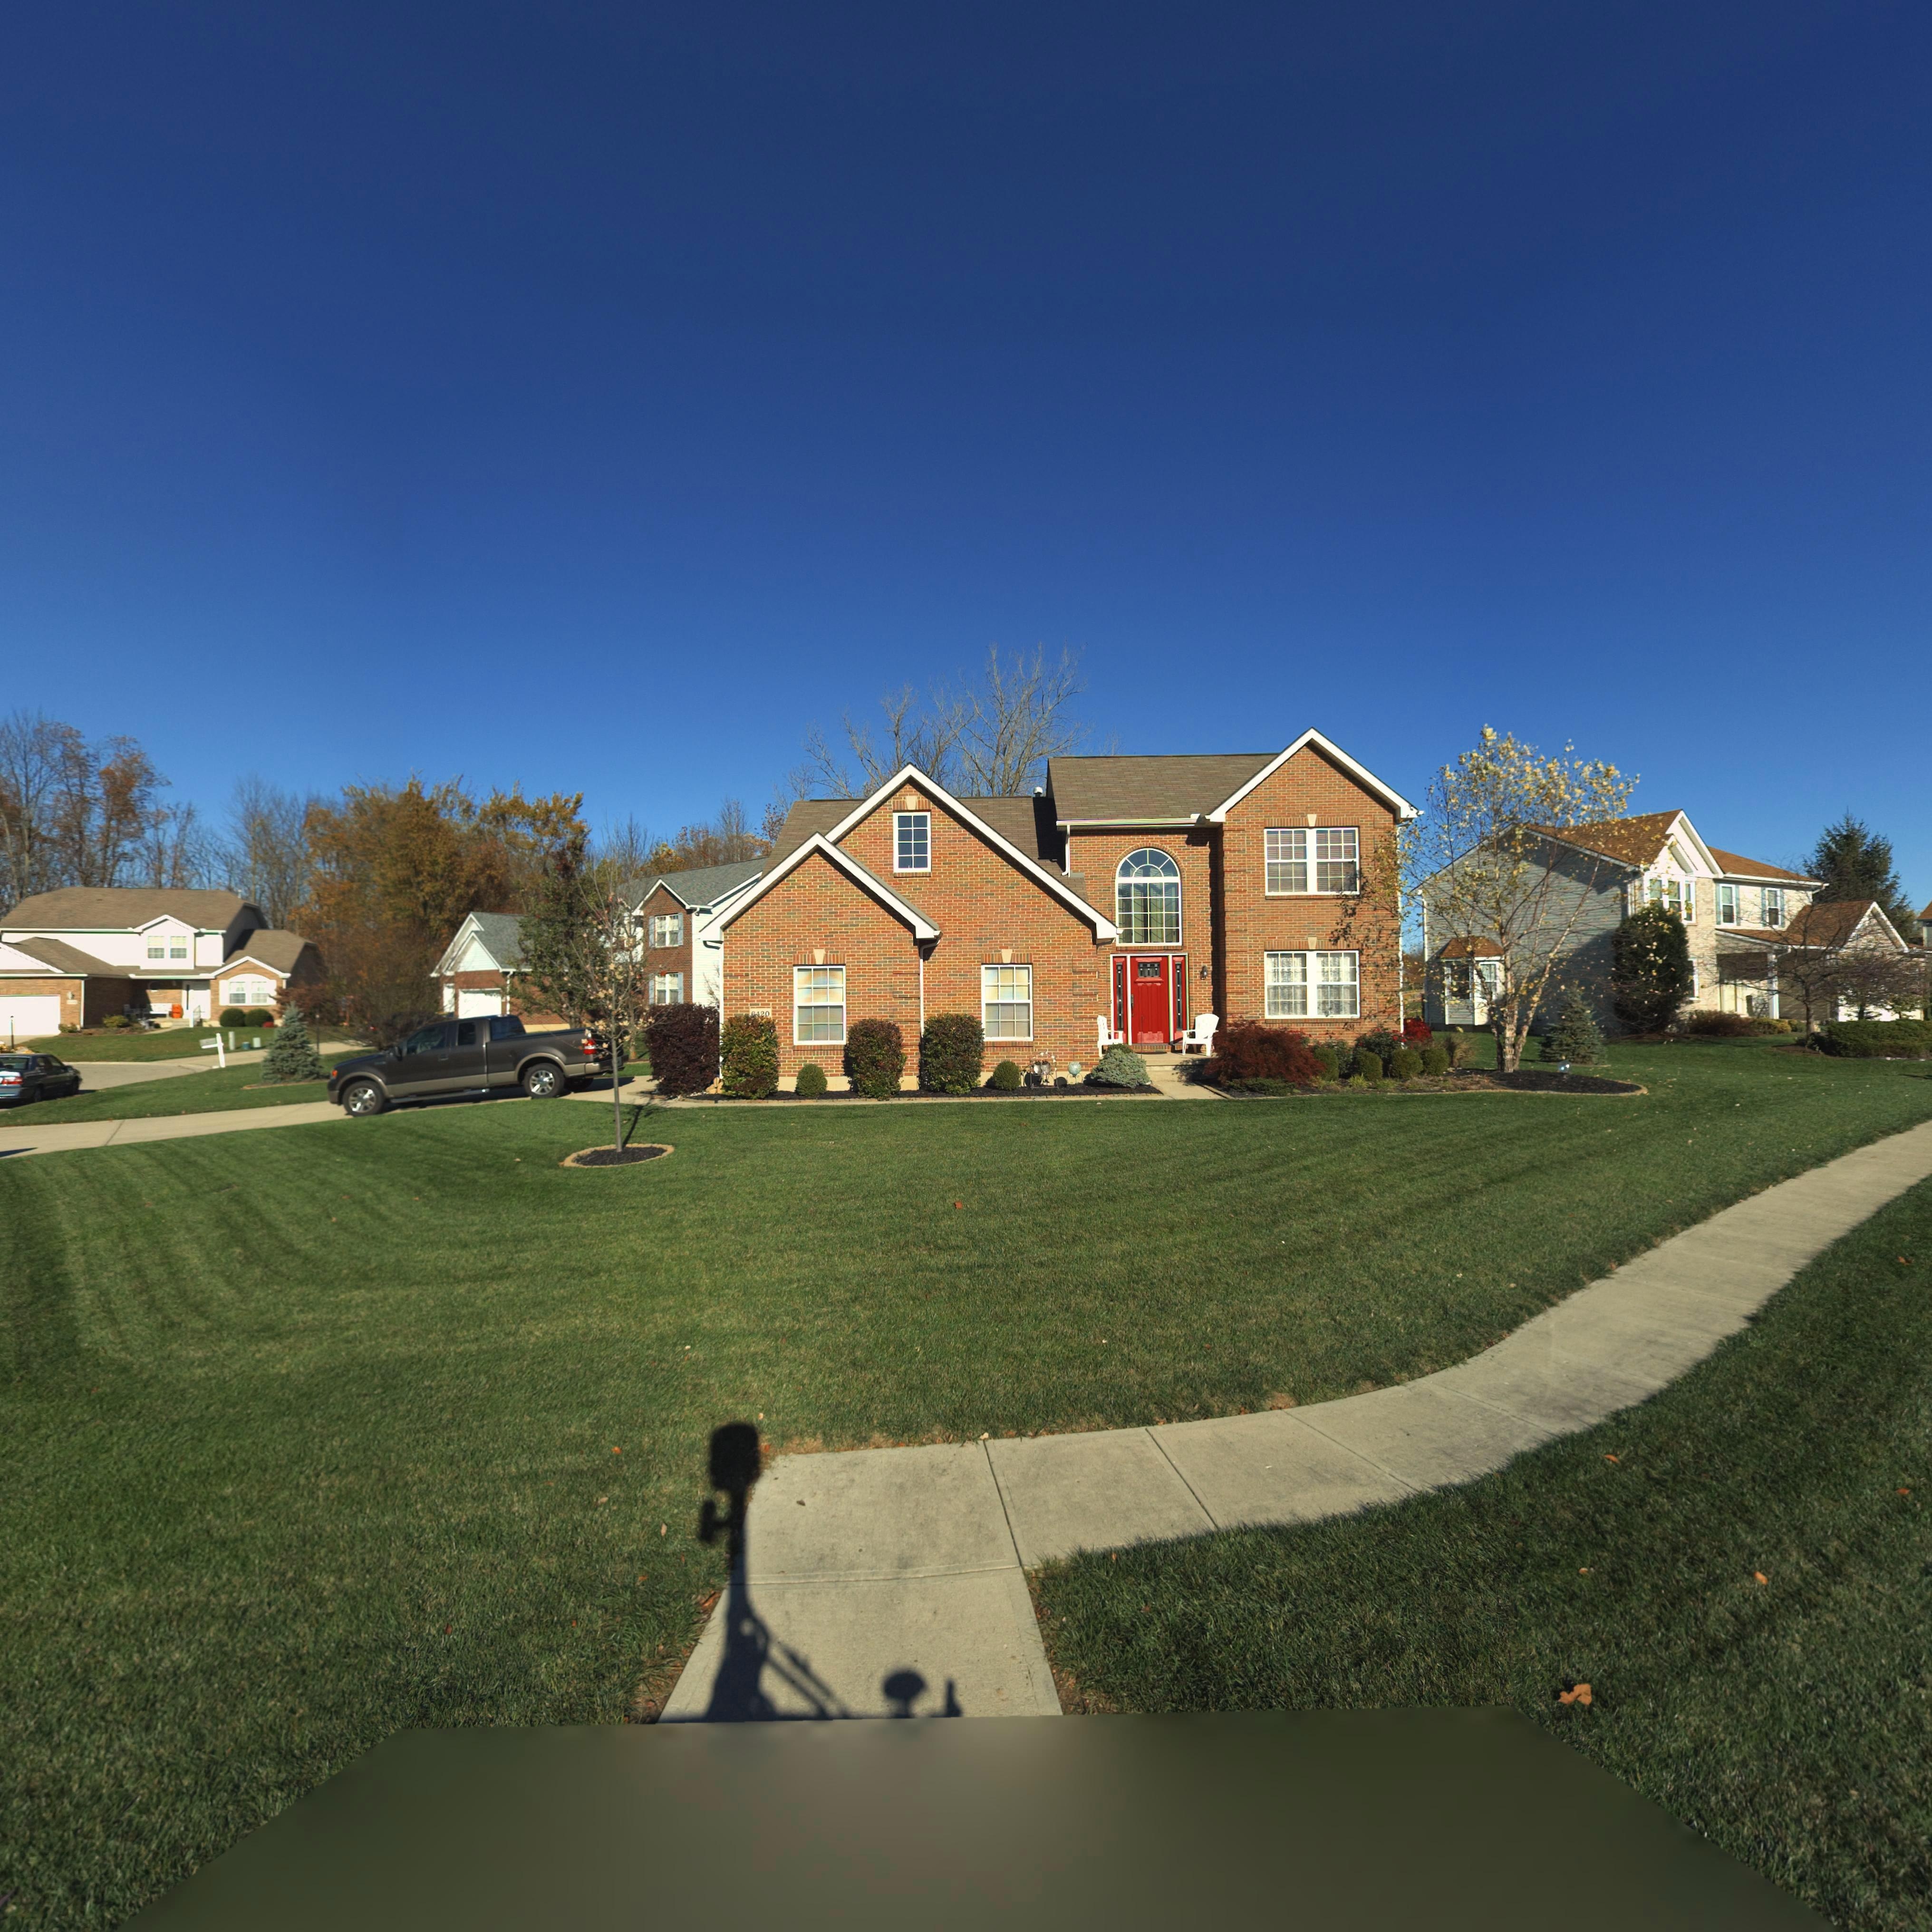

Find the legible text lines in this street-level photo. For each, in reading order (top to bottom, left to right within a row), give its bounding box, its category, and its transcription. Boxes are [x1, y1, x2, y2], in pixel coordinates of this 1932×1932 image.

[764, 1010, 770, 1017] StreetNumber: 0